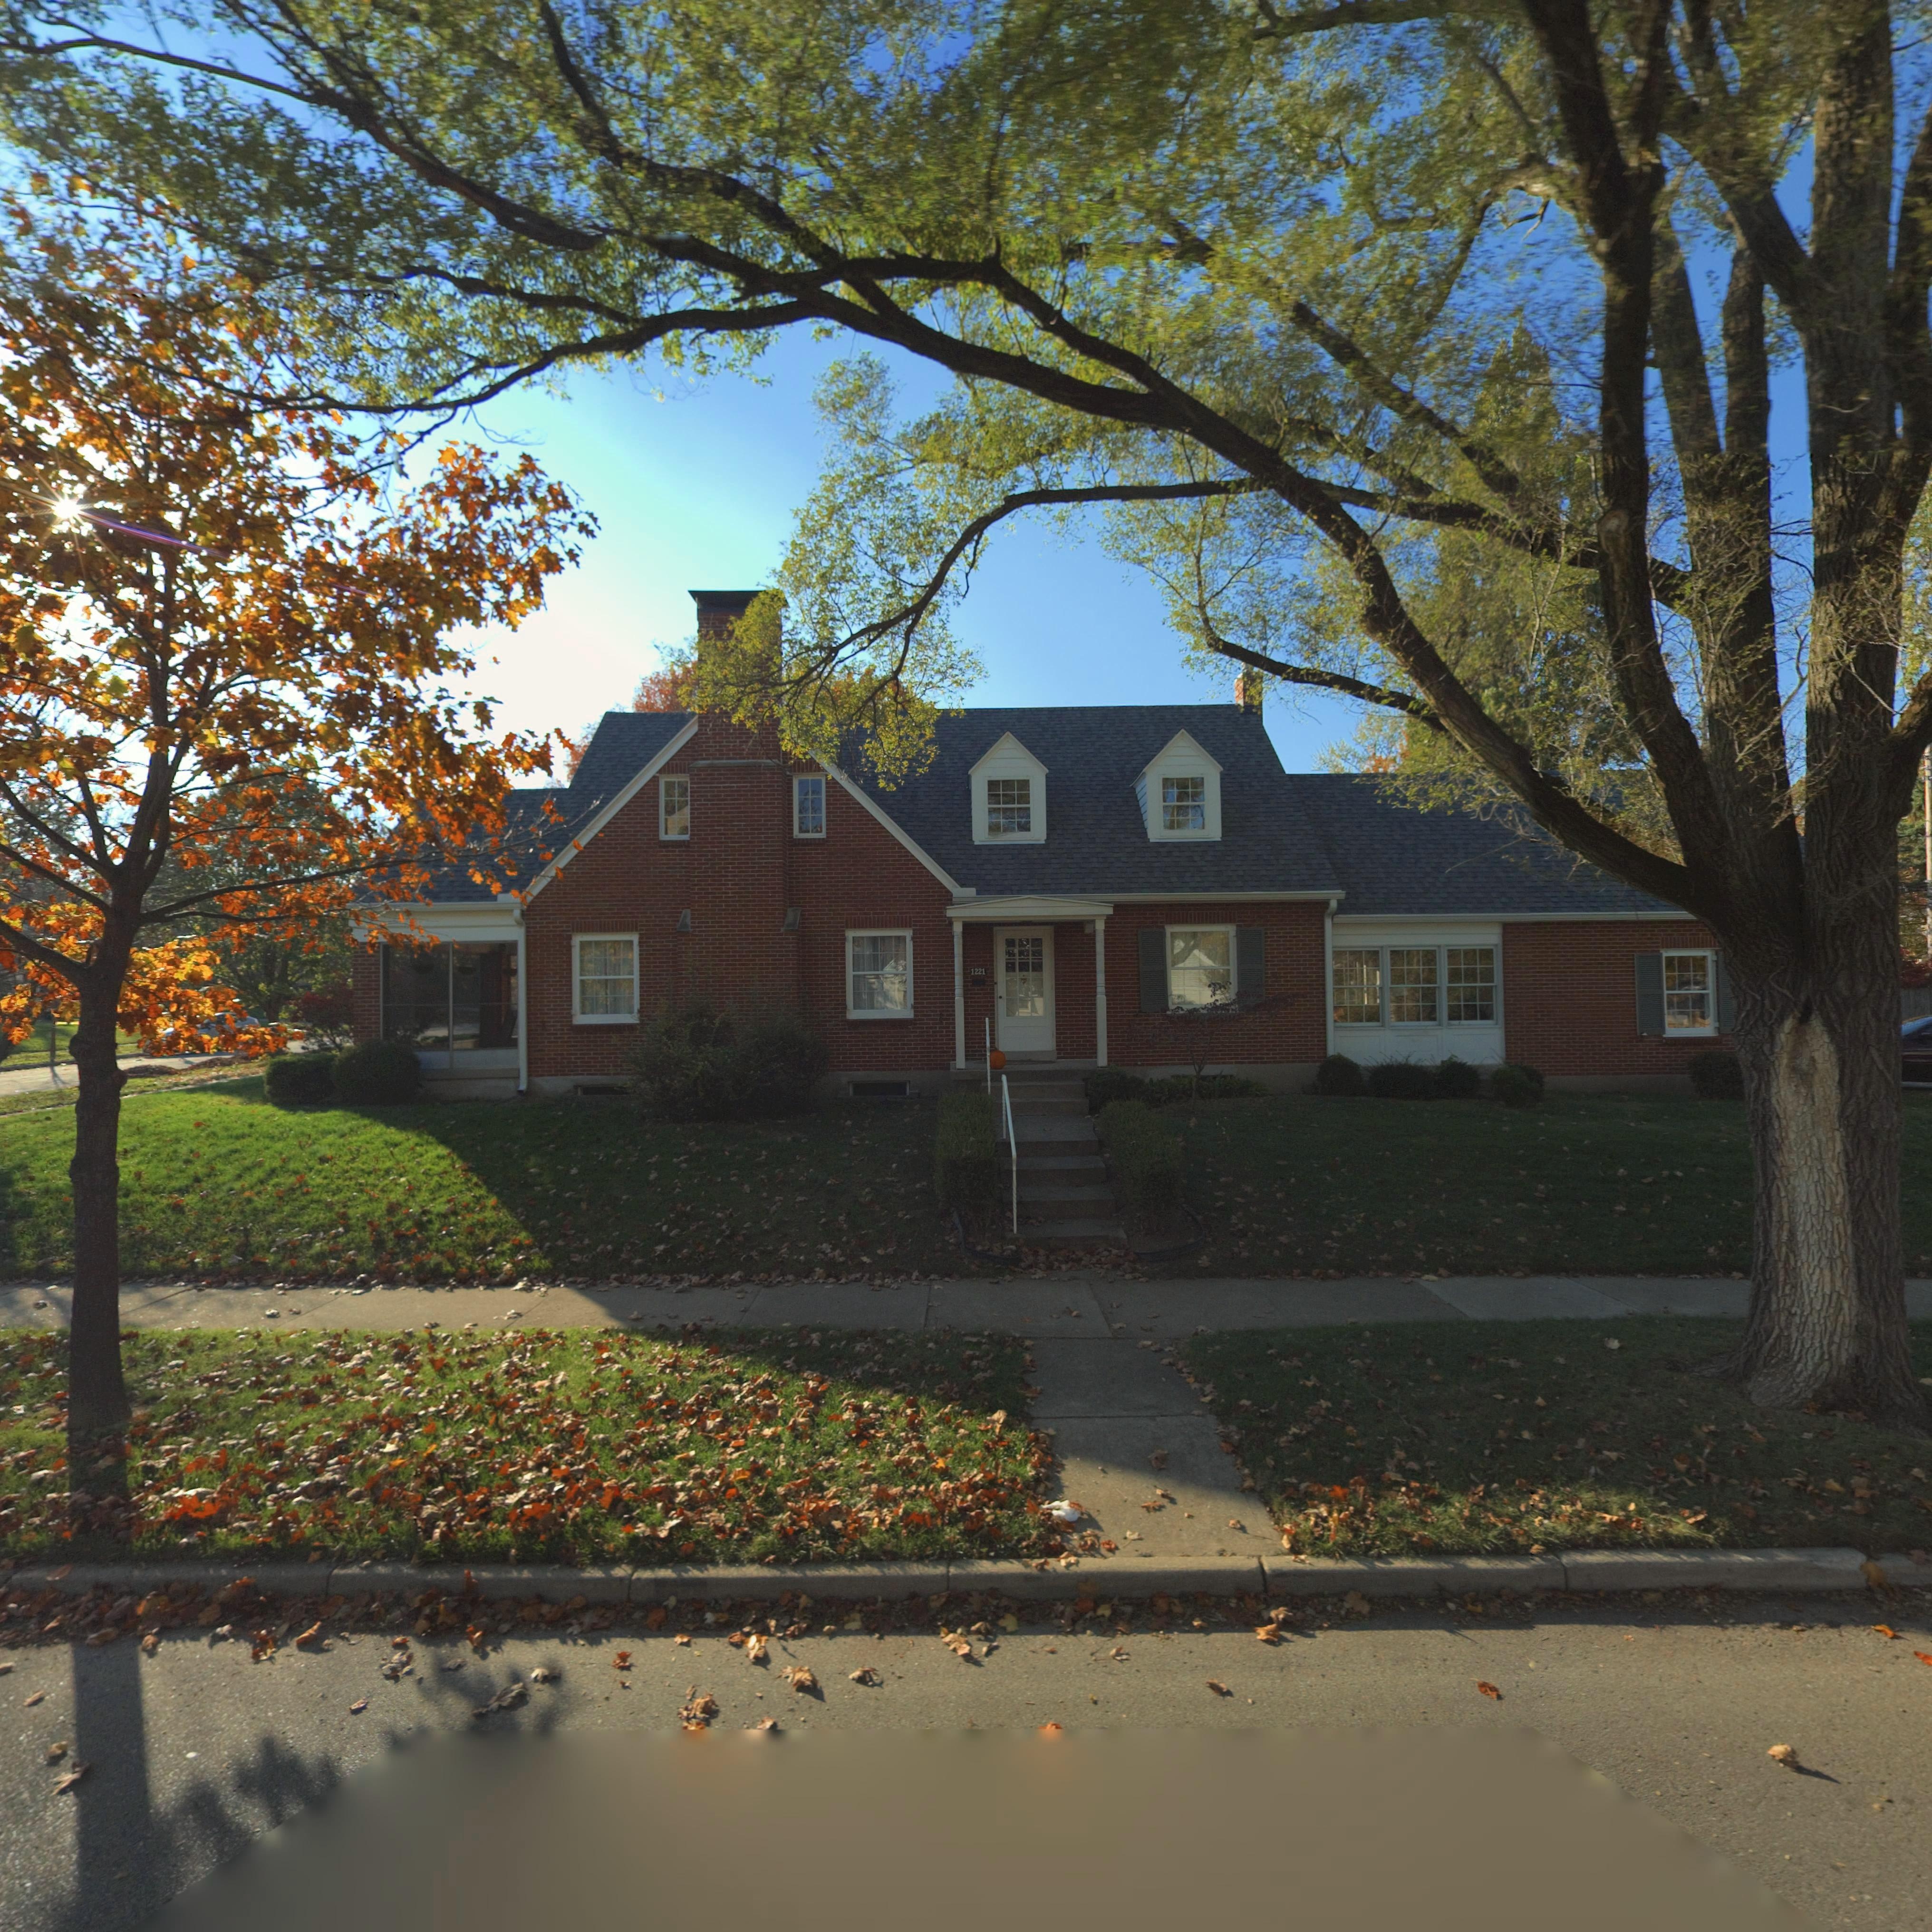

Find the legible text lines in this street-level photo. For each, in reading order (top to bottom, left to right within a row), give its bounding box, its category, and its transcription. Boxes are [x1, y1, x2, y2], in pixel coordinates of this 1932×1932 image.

[970, 967, 986, 976] StreetNumber: 1221